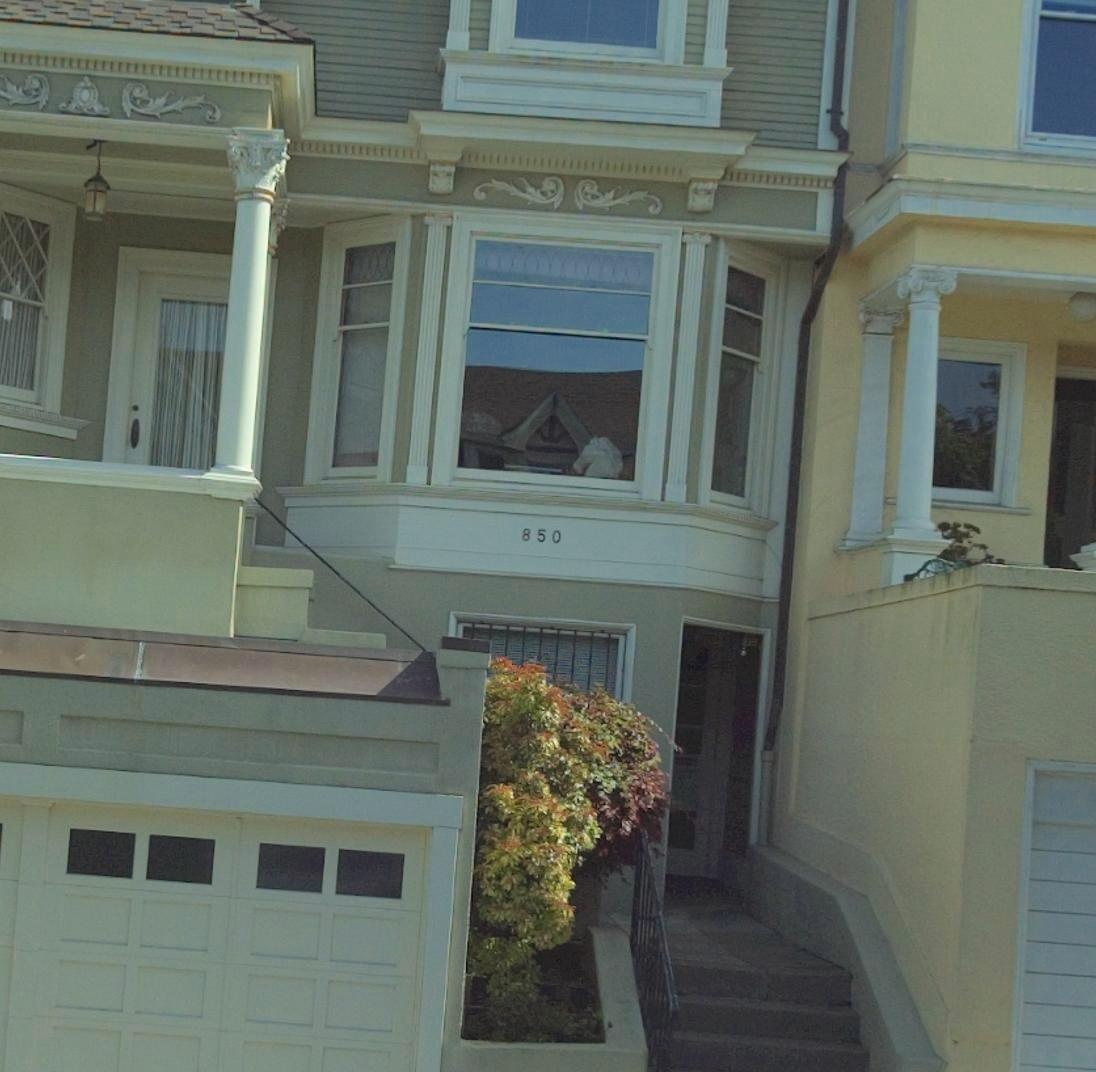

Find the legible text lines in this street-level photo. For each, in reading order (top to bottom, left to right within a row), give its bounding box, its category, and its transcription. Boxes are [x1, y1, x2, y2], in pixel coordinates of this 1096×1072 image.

[520, 526, 563, 546] StreetNumber: 850